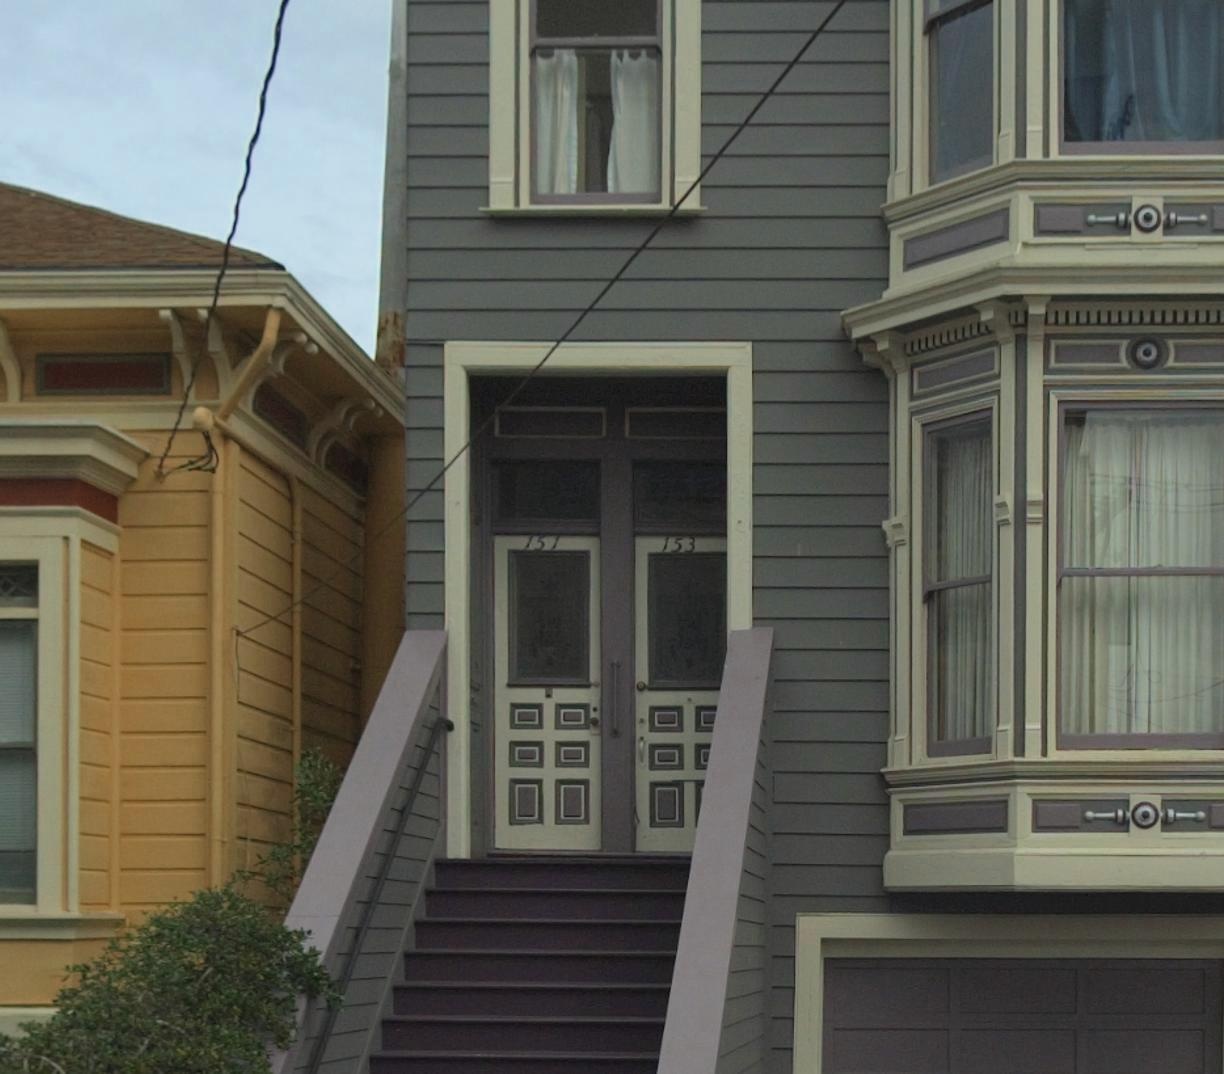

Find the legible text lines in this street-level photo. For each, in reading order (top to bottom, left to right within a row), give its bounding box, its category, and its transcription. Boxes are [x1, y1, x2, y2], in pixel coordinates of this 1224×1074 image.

[522, 534, 561, 551] StreetNumber: 151
[661, 535, 697, 553] StreetNumber: 153